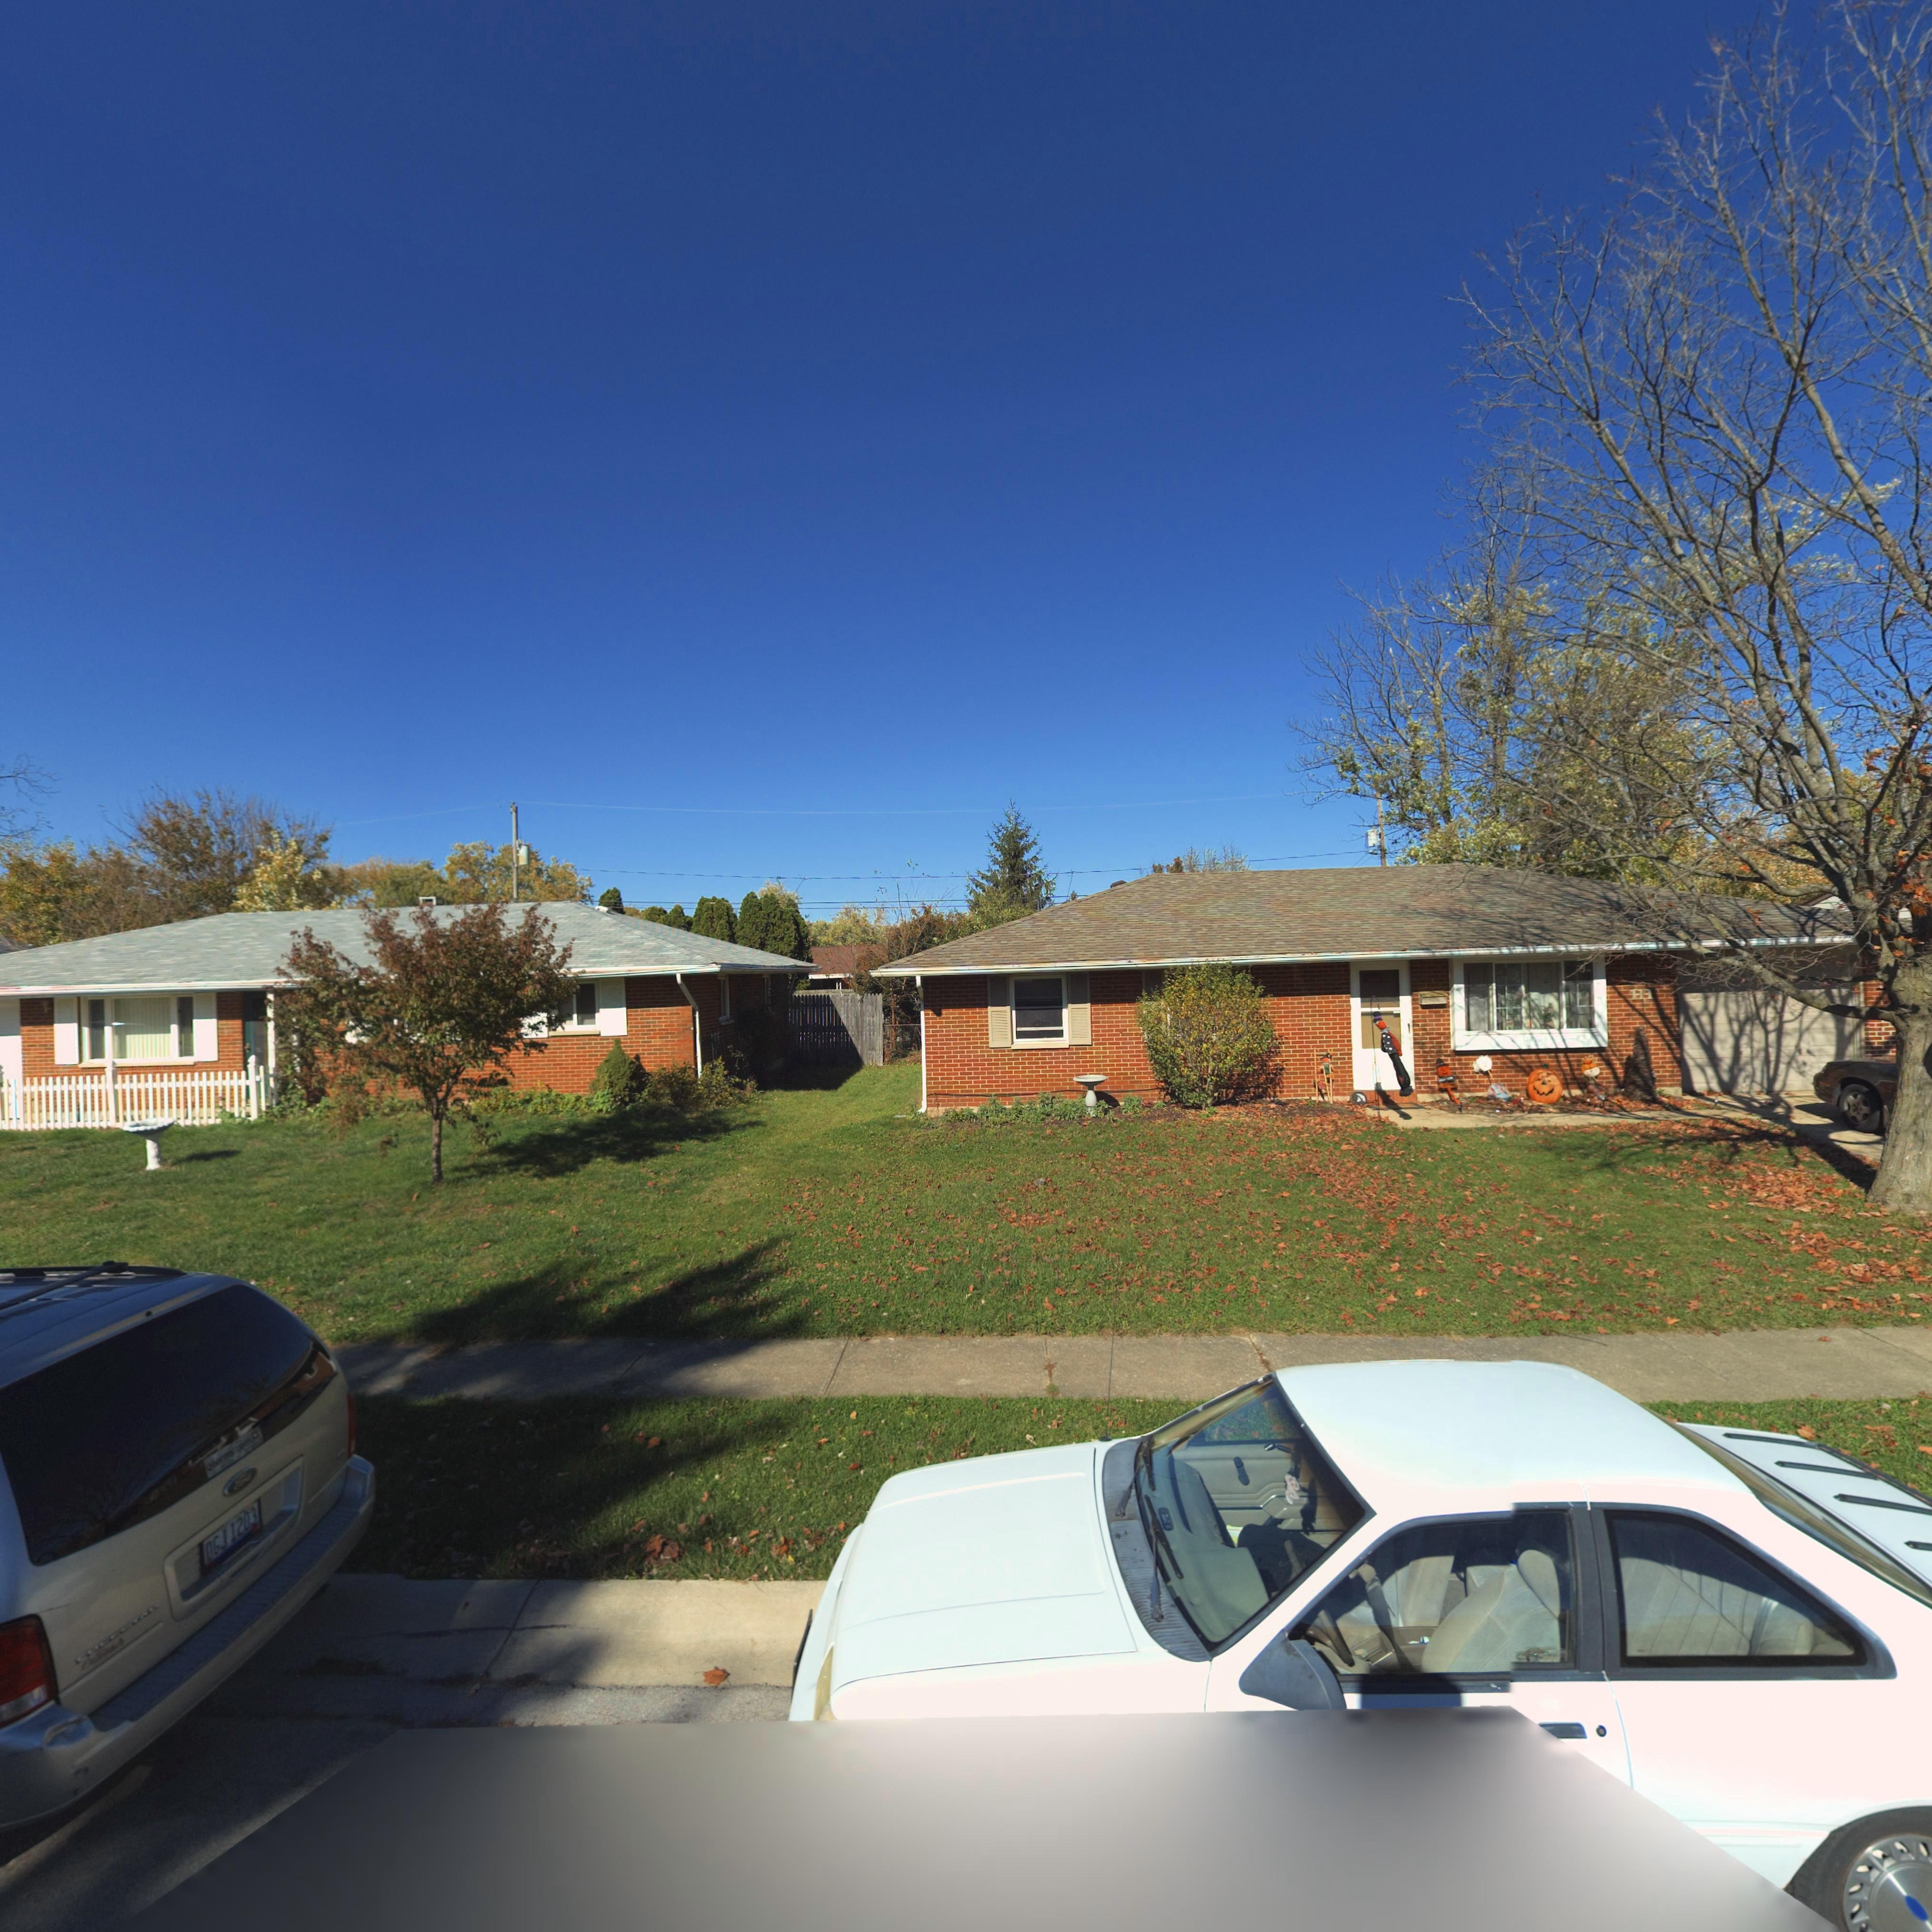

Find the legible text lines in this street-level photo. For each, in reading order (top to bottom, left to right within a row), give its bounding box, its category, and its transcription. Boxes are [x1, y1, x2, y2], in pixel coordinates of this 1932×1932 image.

[1629, 987, 1654, 1001] StreetNumber: 111